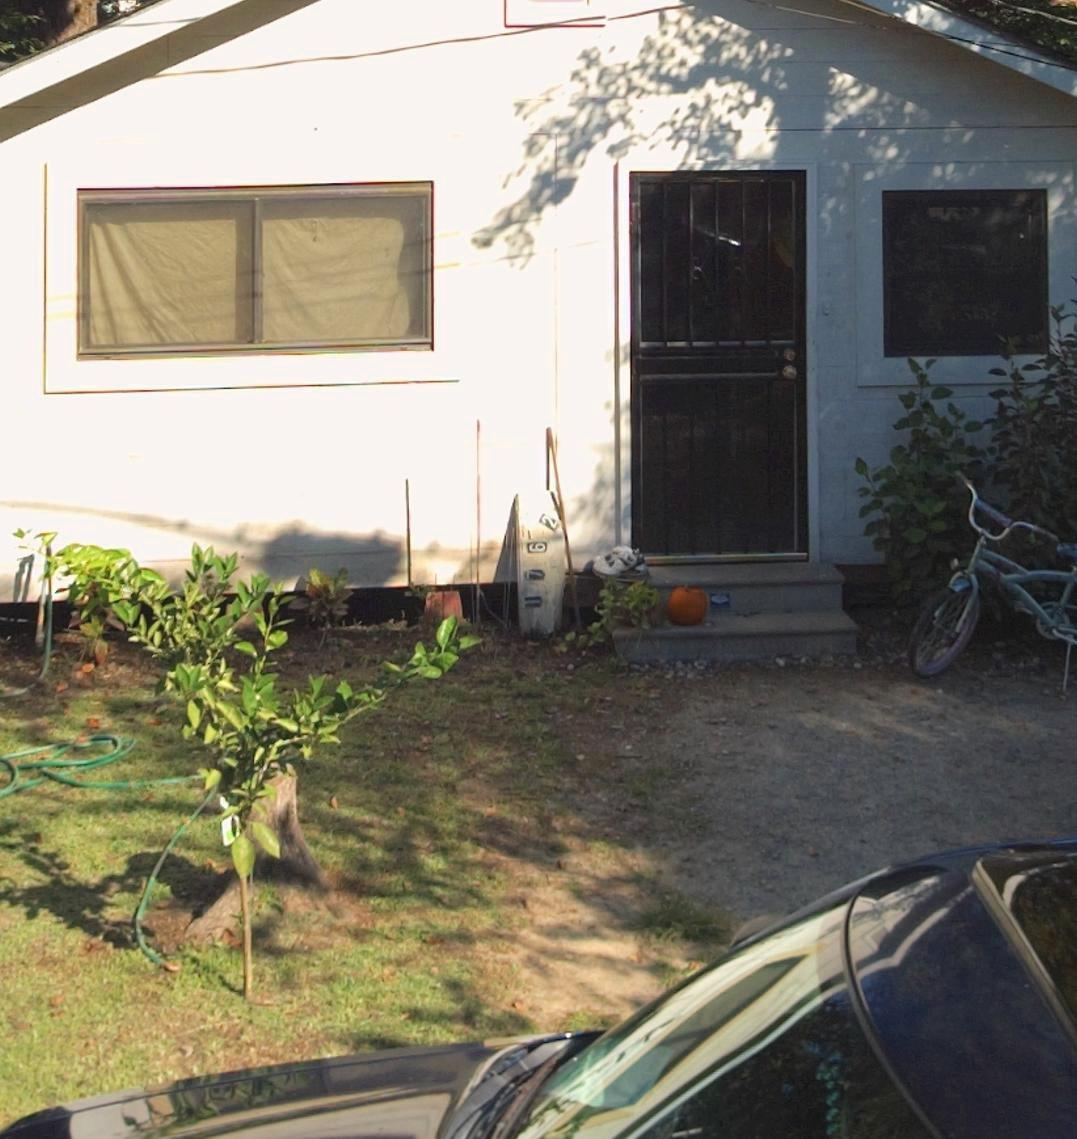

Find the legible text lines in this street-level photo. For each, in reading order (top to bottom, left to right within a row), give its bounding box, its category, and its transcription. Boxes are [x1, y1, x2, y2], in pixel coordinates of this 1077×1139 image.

[523, 510, 561, 608] StreetNumber: 1762